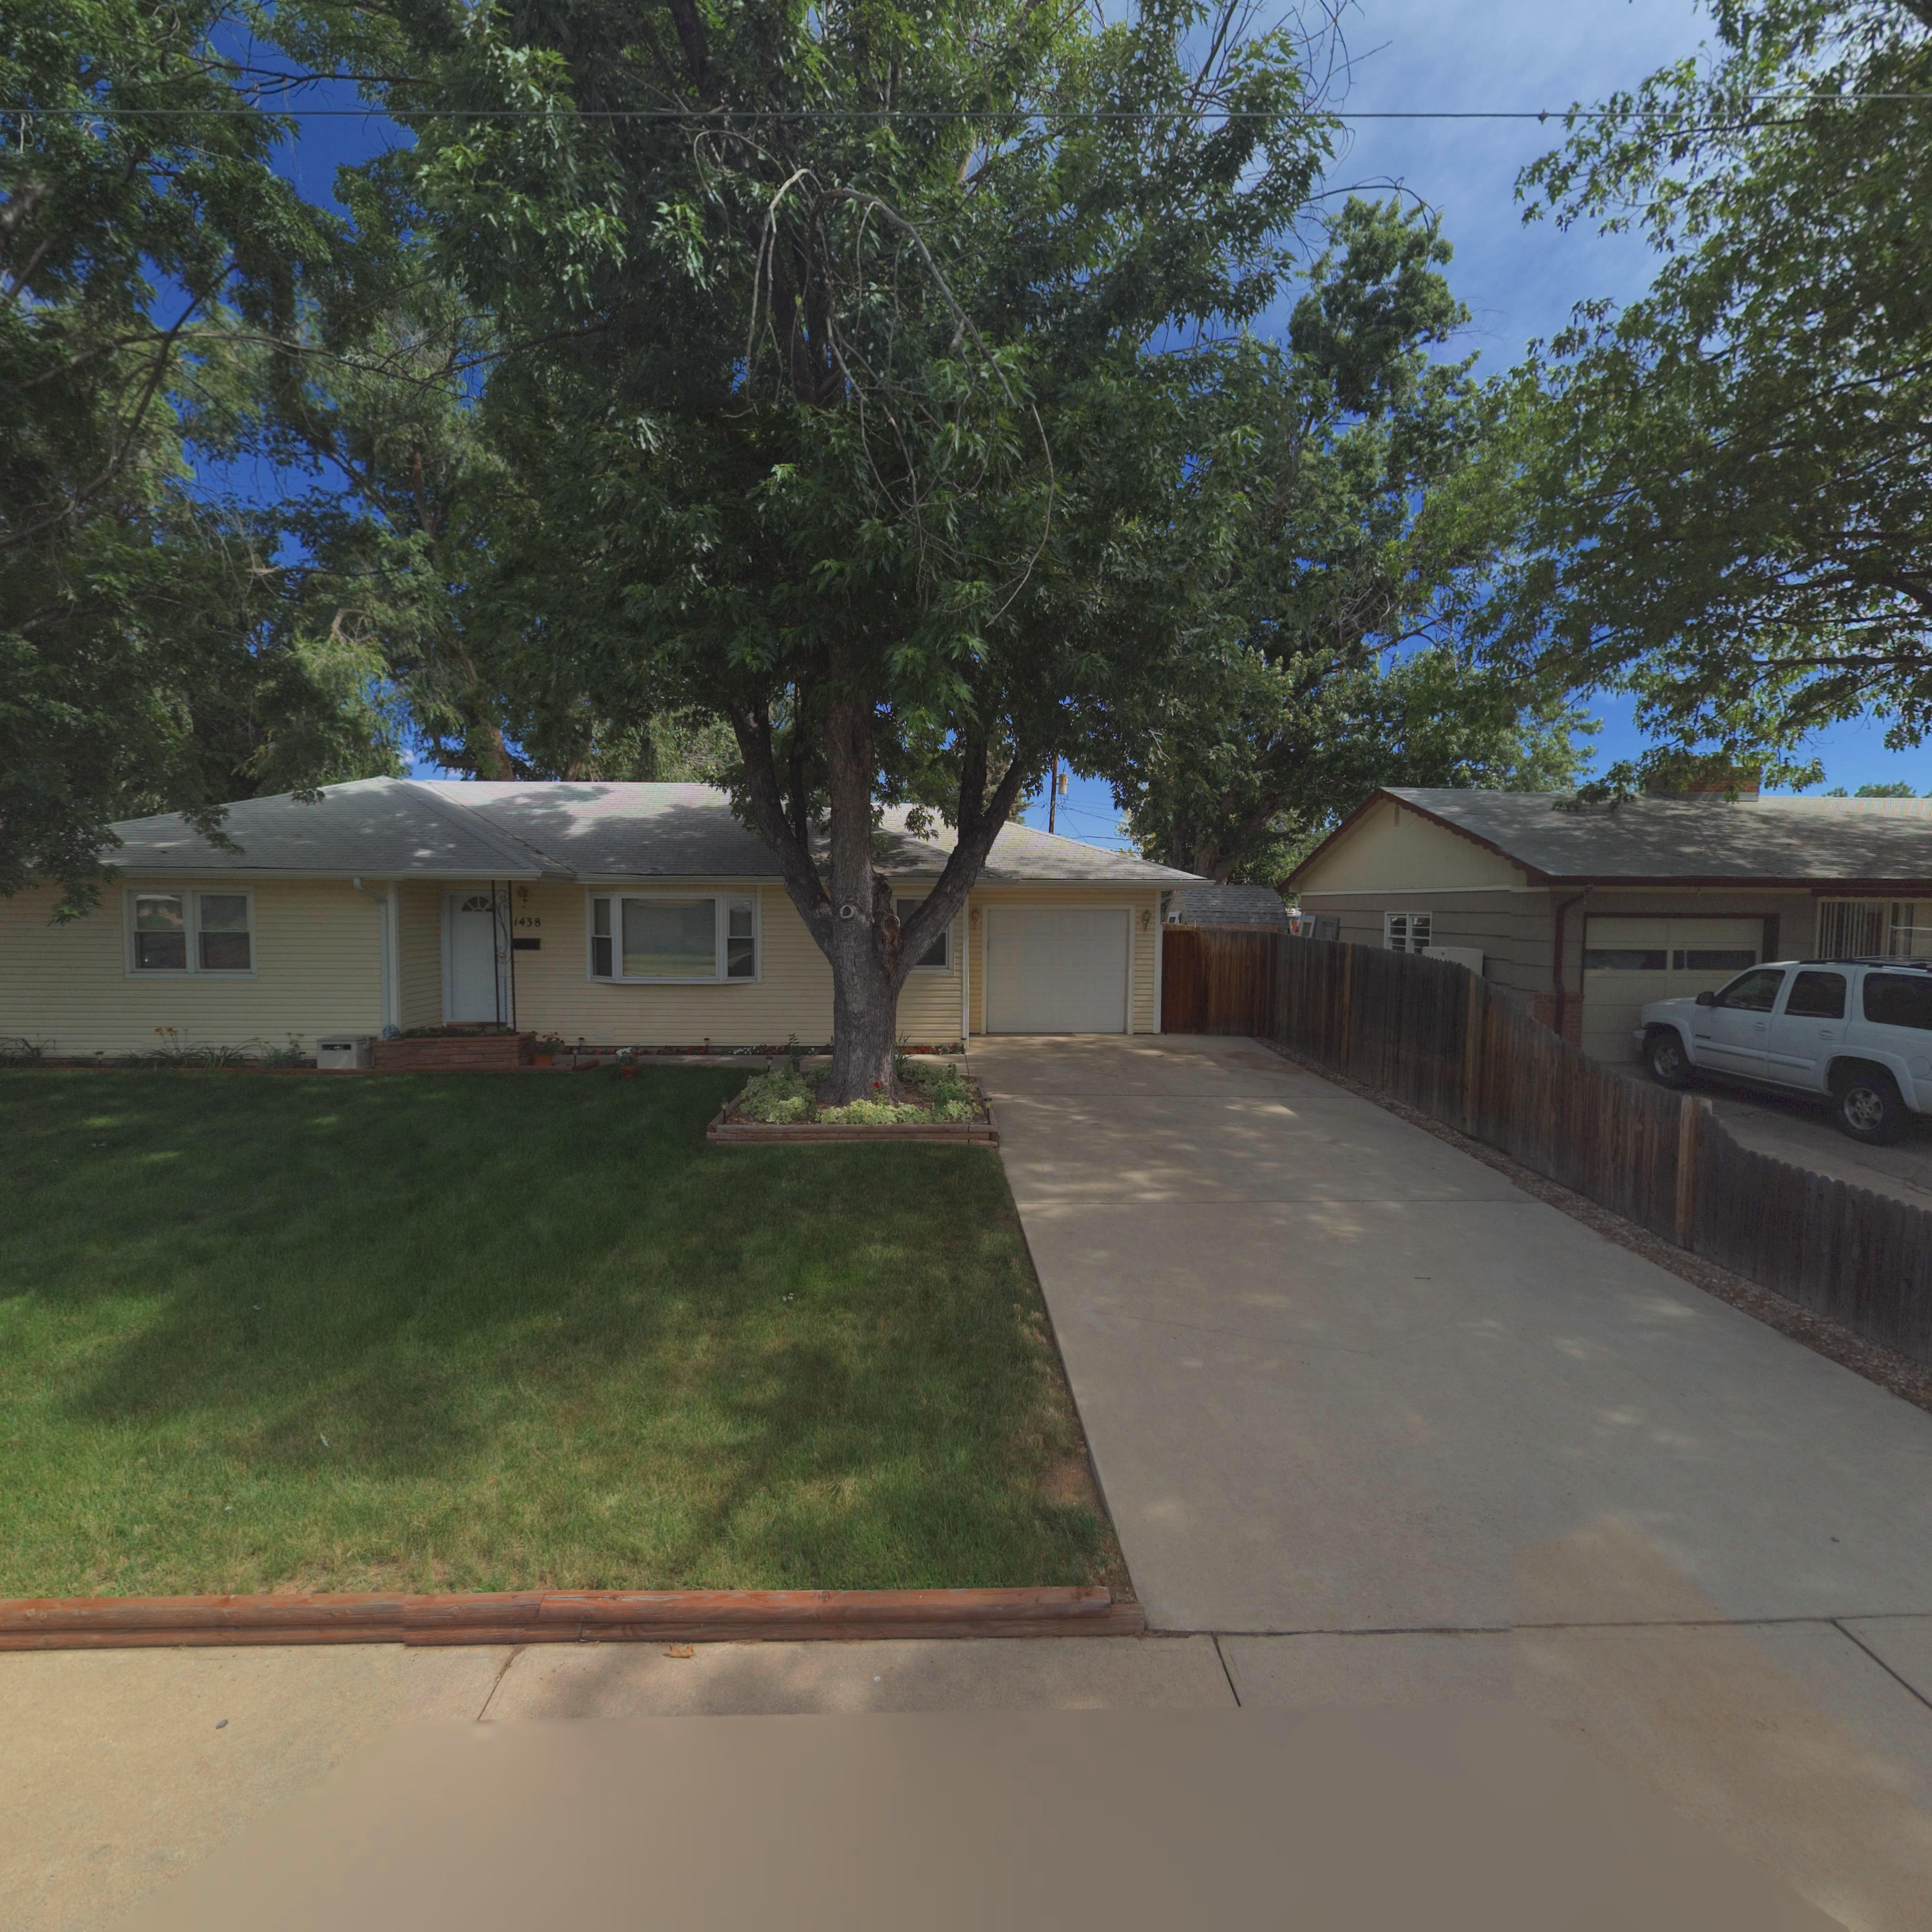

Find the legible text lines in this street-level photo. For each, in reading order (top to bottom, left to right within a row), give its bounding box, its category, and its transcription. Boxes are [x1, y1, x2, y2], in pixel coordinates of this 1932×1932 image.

[514, 917, 541, 927] StreetNumber: 1438